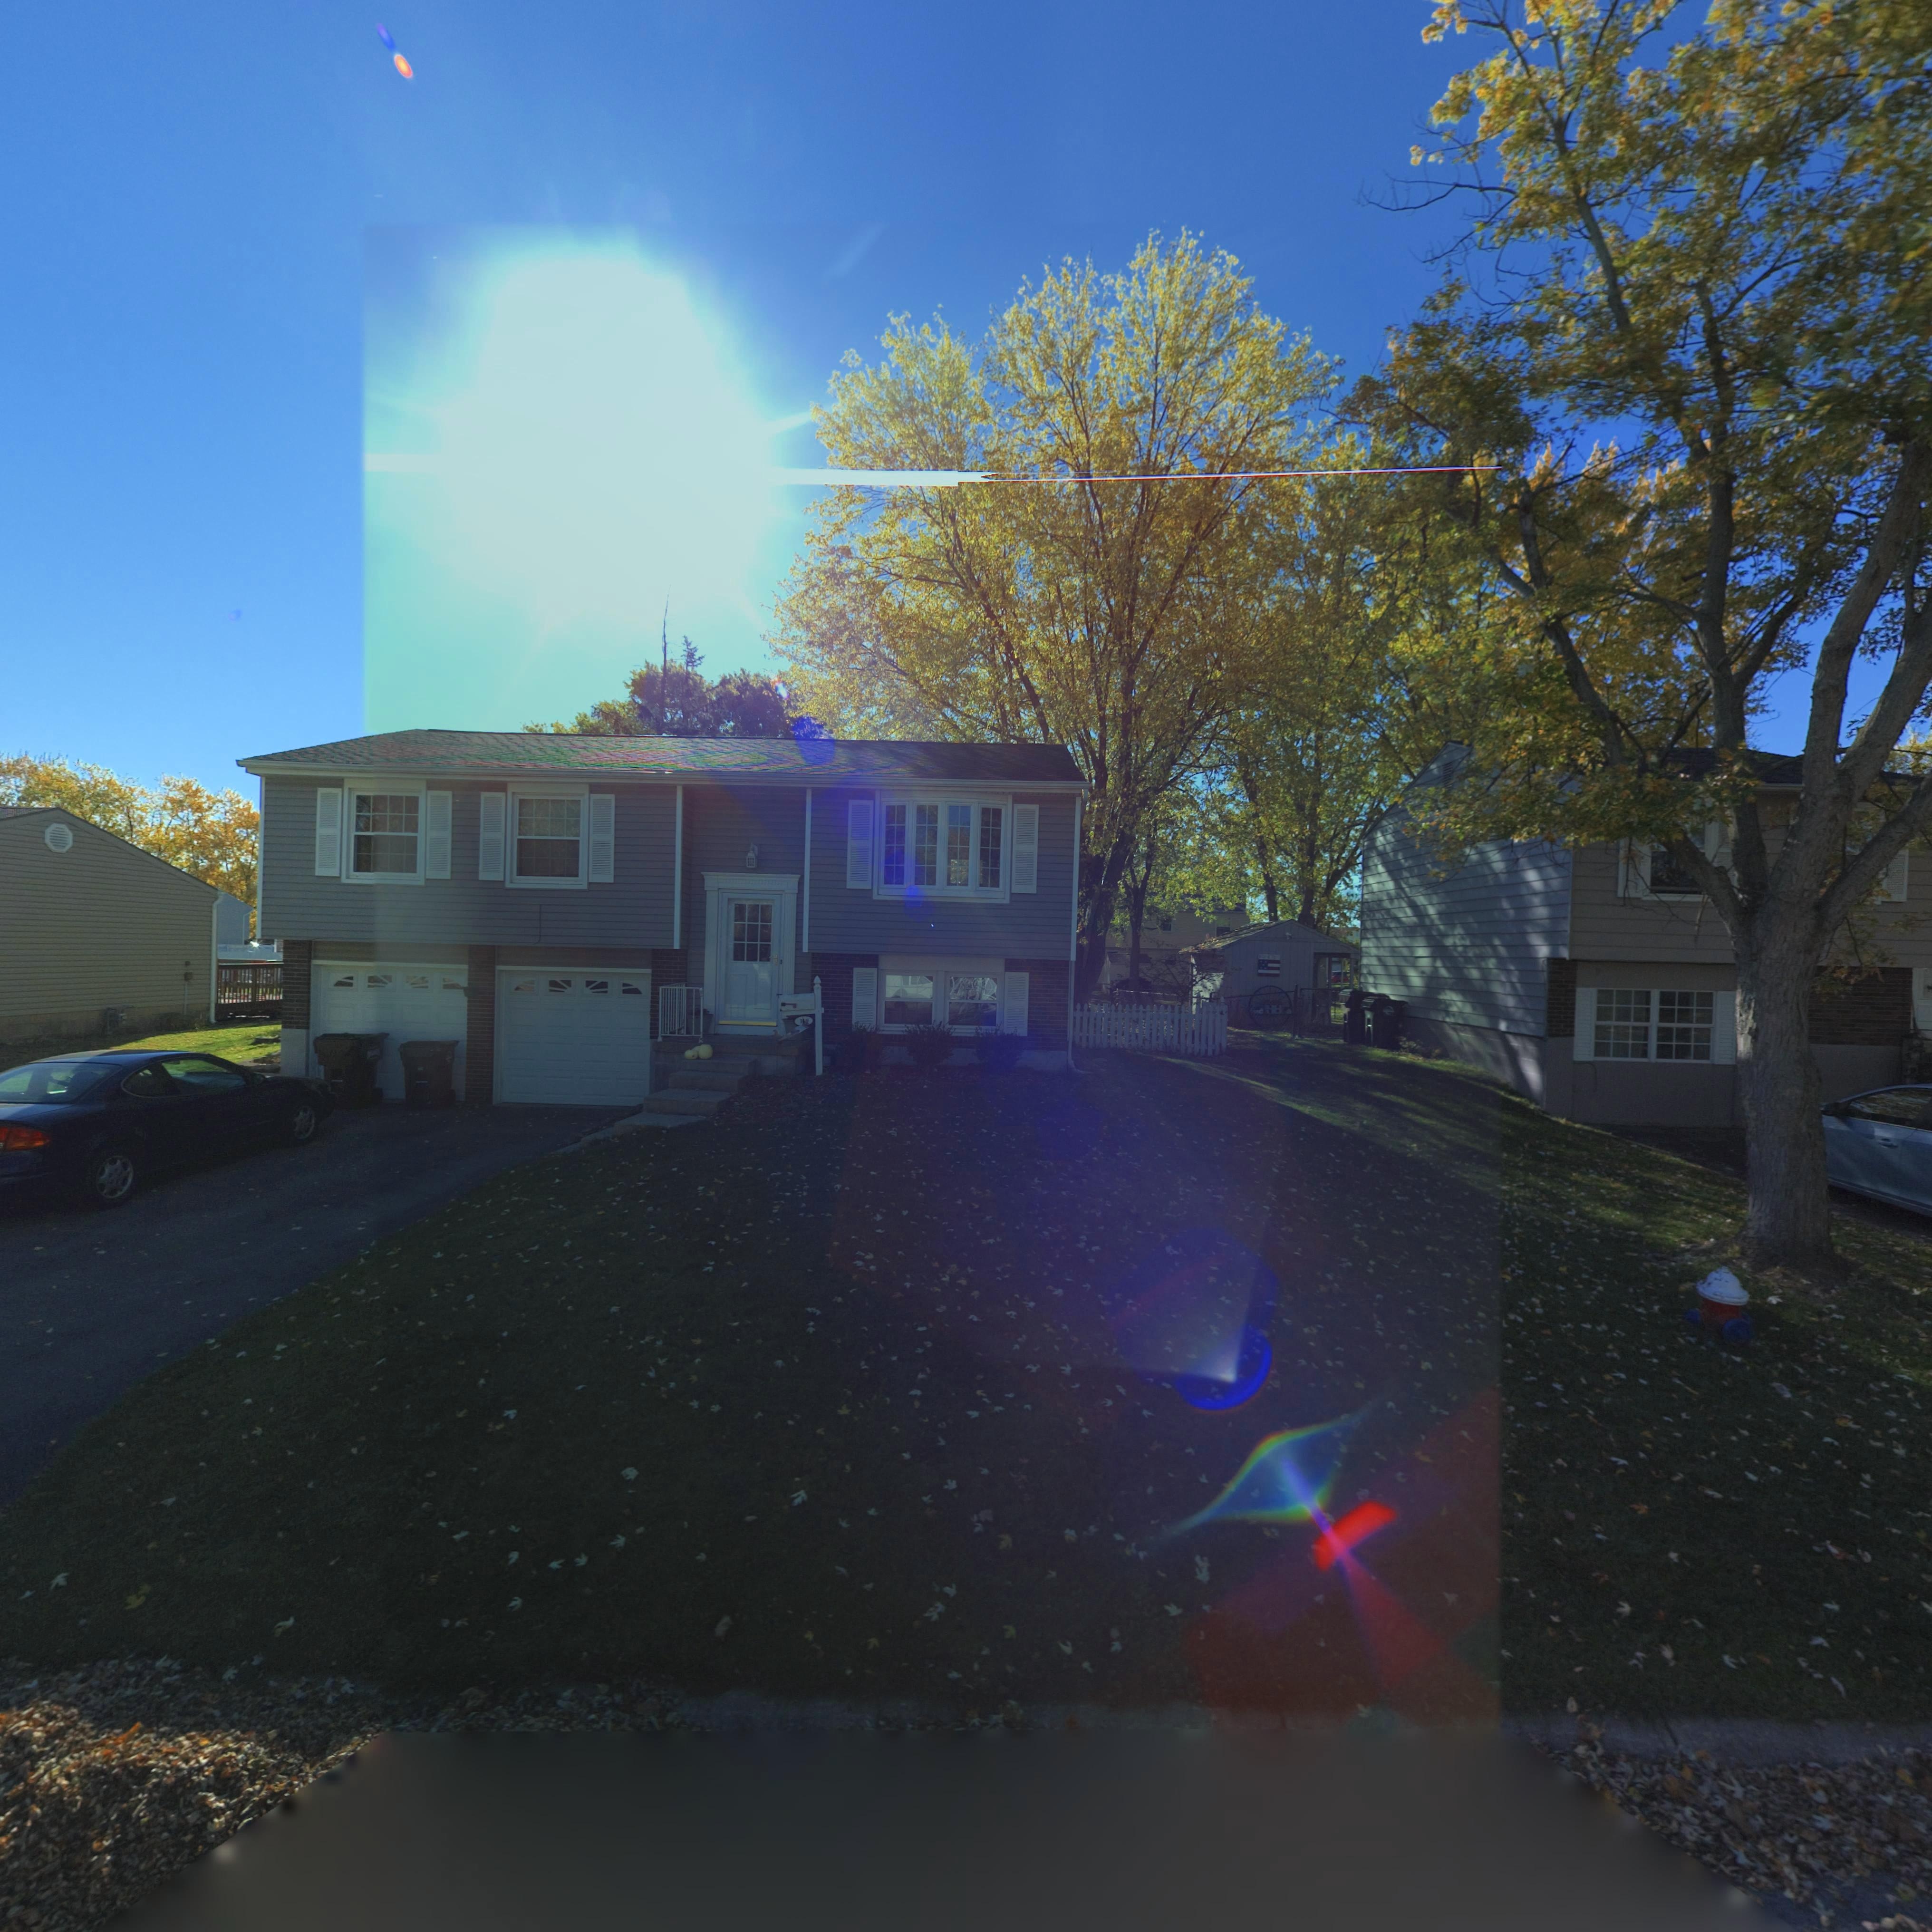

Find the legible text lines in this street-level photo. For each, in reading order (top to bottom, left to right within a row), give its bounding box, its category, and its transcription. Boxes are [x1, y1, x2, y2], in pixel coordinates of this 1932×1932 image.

[800, 1018, 809, 1024] StreetNumber: 1*9